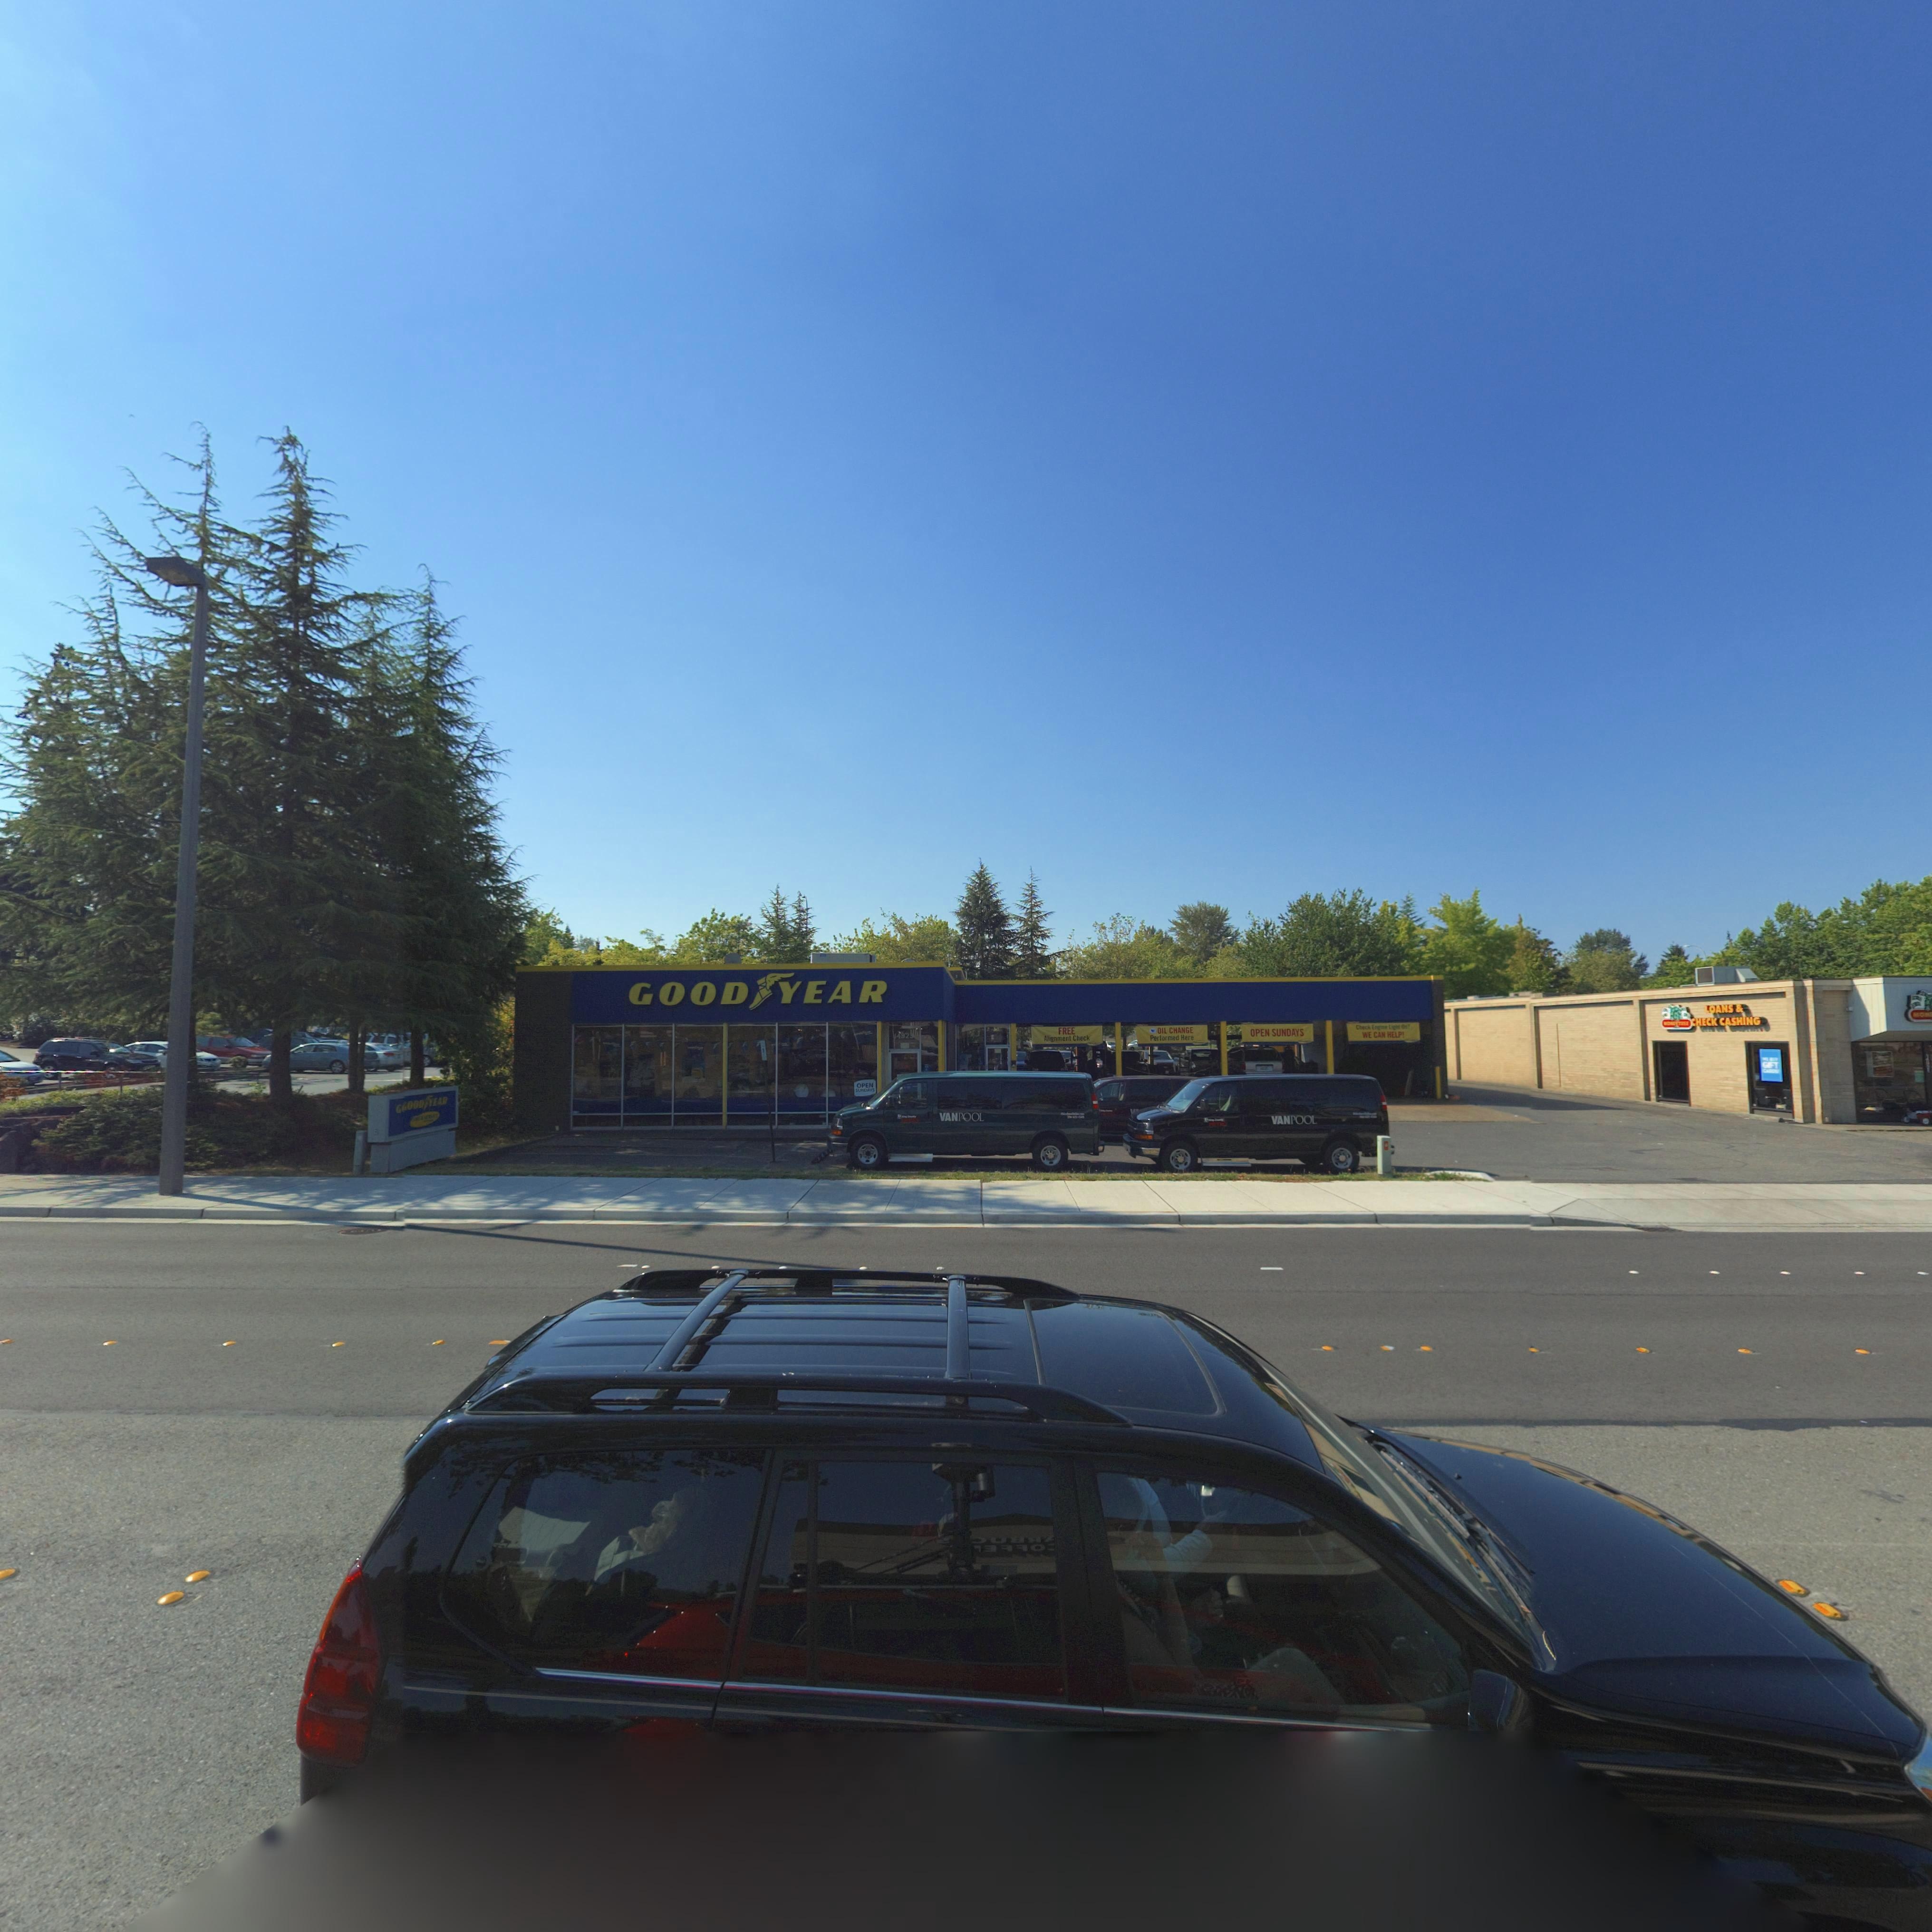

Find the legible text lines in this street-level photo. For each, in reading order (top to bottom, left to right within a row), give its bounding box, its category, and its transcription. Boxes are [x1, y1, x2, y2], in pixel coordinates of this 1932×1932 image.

[629, 980, 886, 1005] BusinessName: GOOD YEAR
[1703, 1004, 1744, 1014] BusinessName: LOANS &
[1912, 1012, 1930, 1017] BusinessName: MON
[1690, 1016, 1761, 1026] BusinessName: CHECK CASHING
[894, 1033, 914, 1039] StreetNumber: 1492*
[394, 1095, 449, 1114] BusinessName: GOOD*YEAR